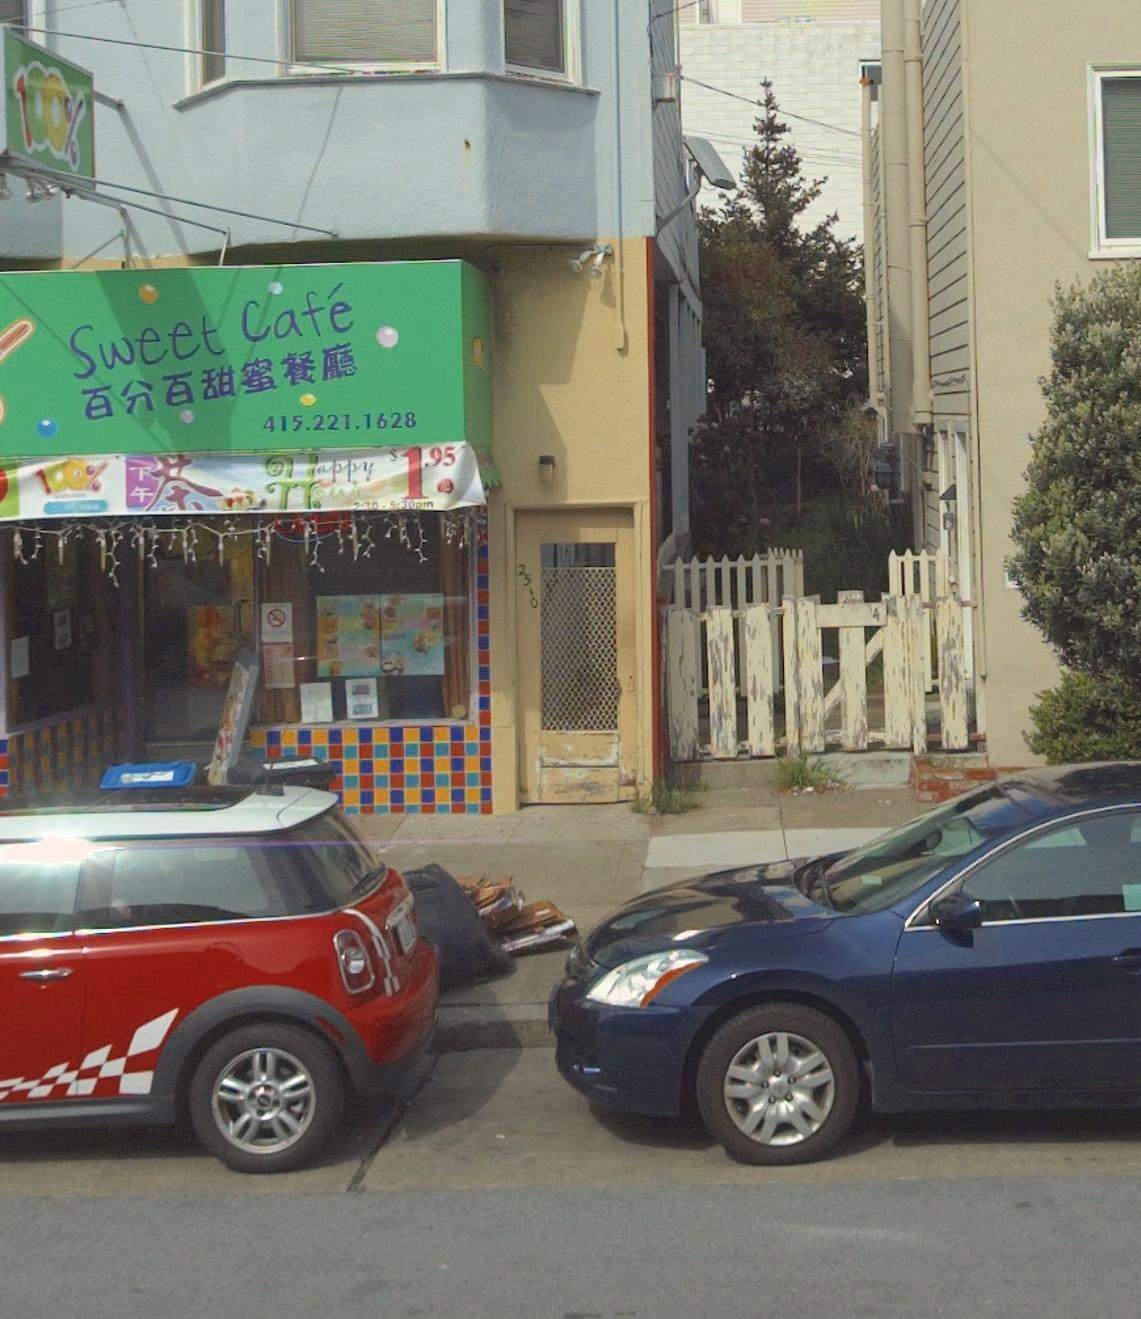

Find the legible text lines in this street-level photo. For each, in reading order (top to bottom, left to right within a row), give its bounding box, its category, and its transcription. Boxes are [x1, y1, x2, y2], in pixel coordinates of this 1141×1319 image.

[15, 65, 89, 170] BusinessName: 100%
[69, 290, 355, 382] BusinessName: Sweet Cafe
[262, 411, 416, 433] None: 415.221.1628
[32, 456, 111, 497] BusinessName: 100%
[272, 452, 369, 513] None: Hour
[316, 458, 374, 484] None: appy
[363, 500, 435, 511] None: 30 - 5:30pm
[401, 445, 457, 500] None: 1.95
[514, 561, 542, 612] StreetNumber: 2510